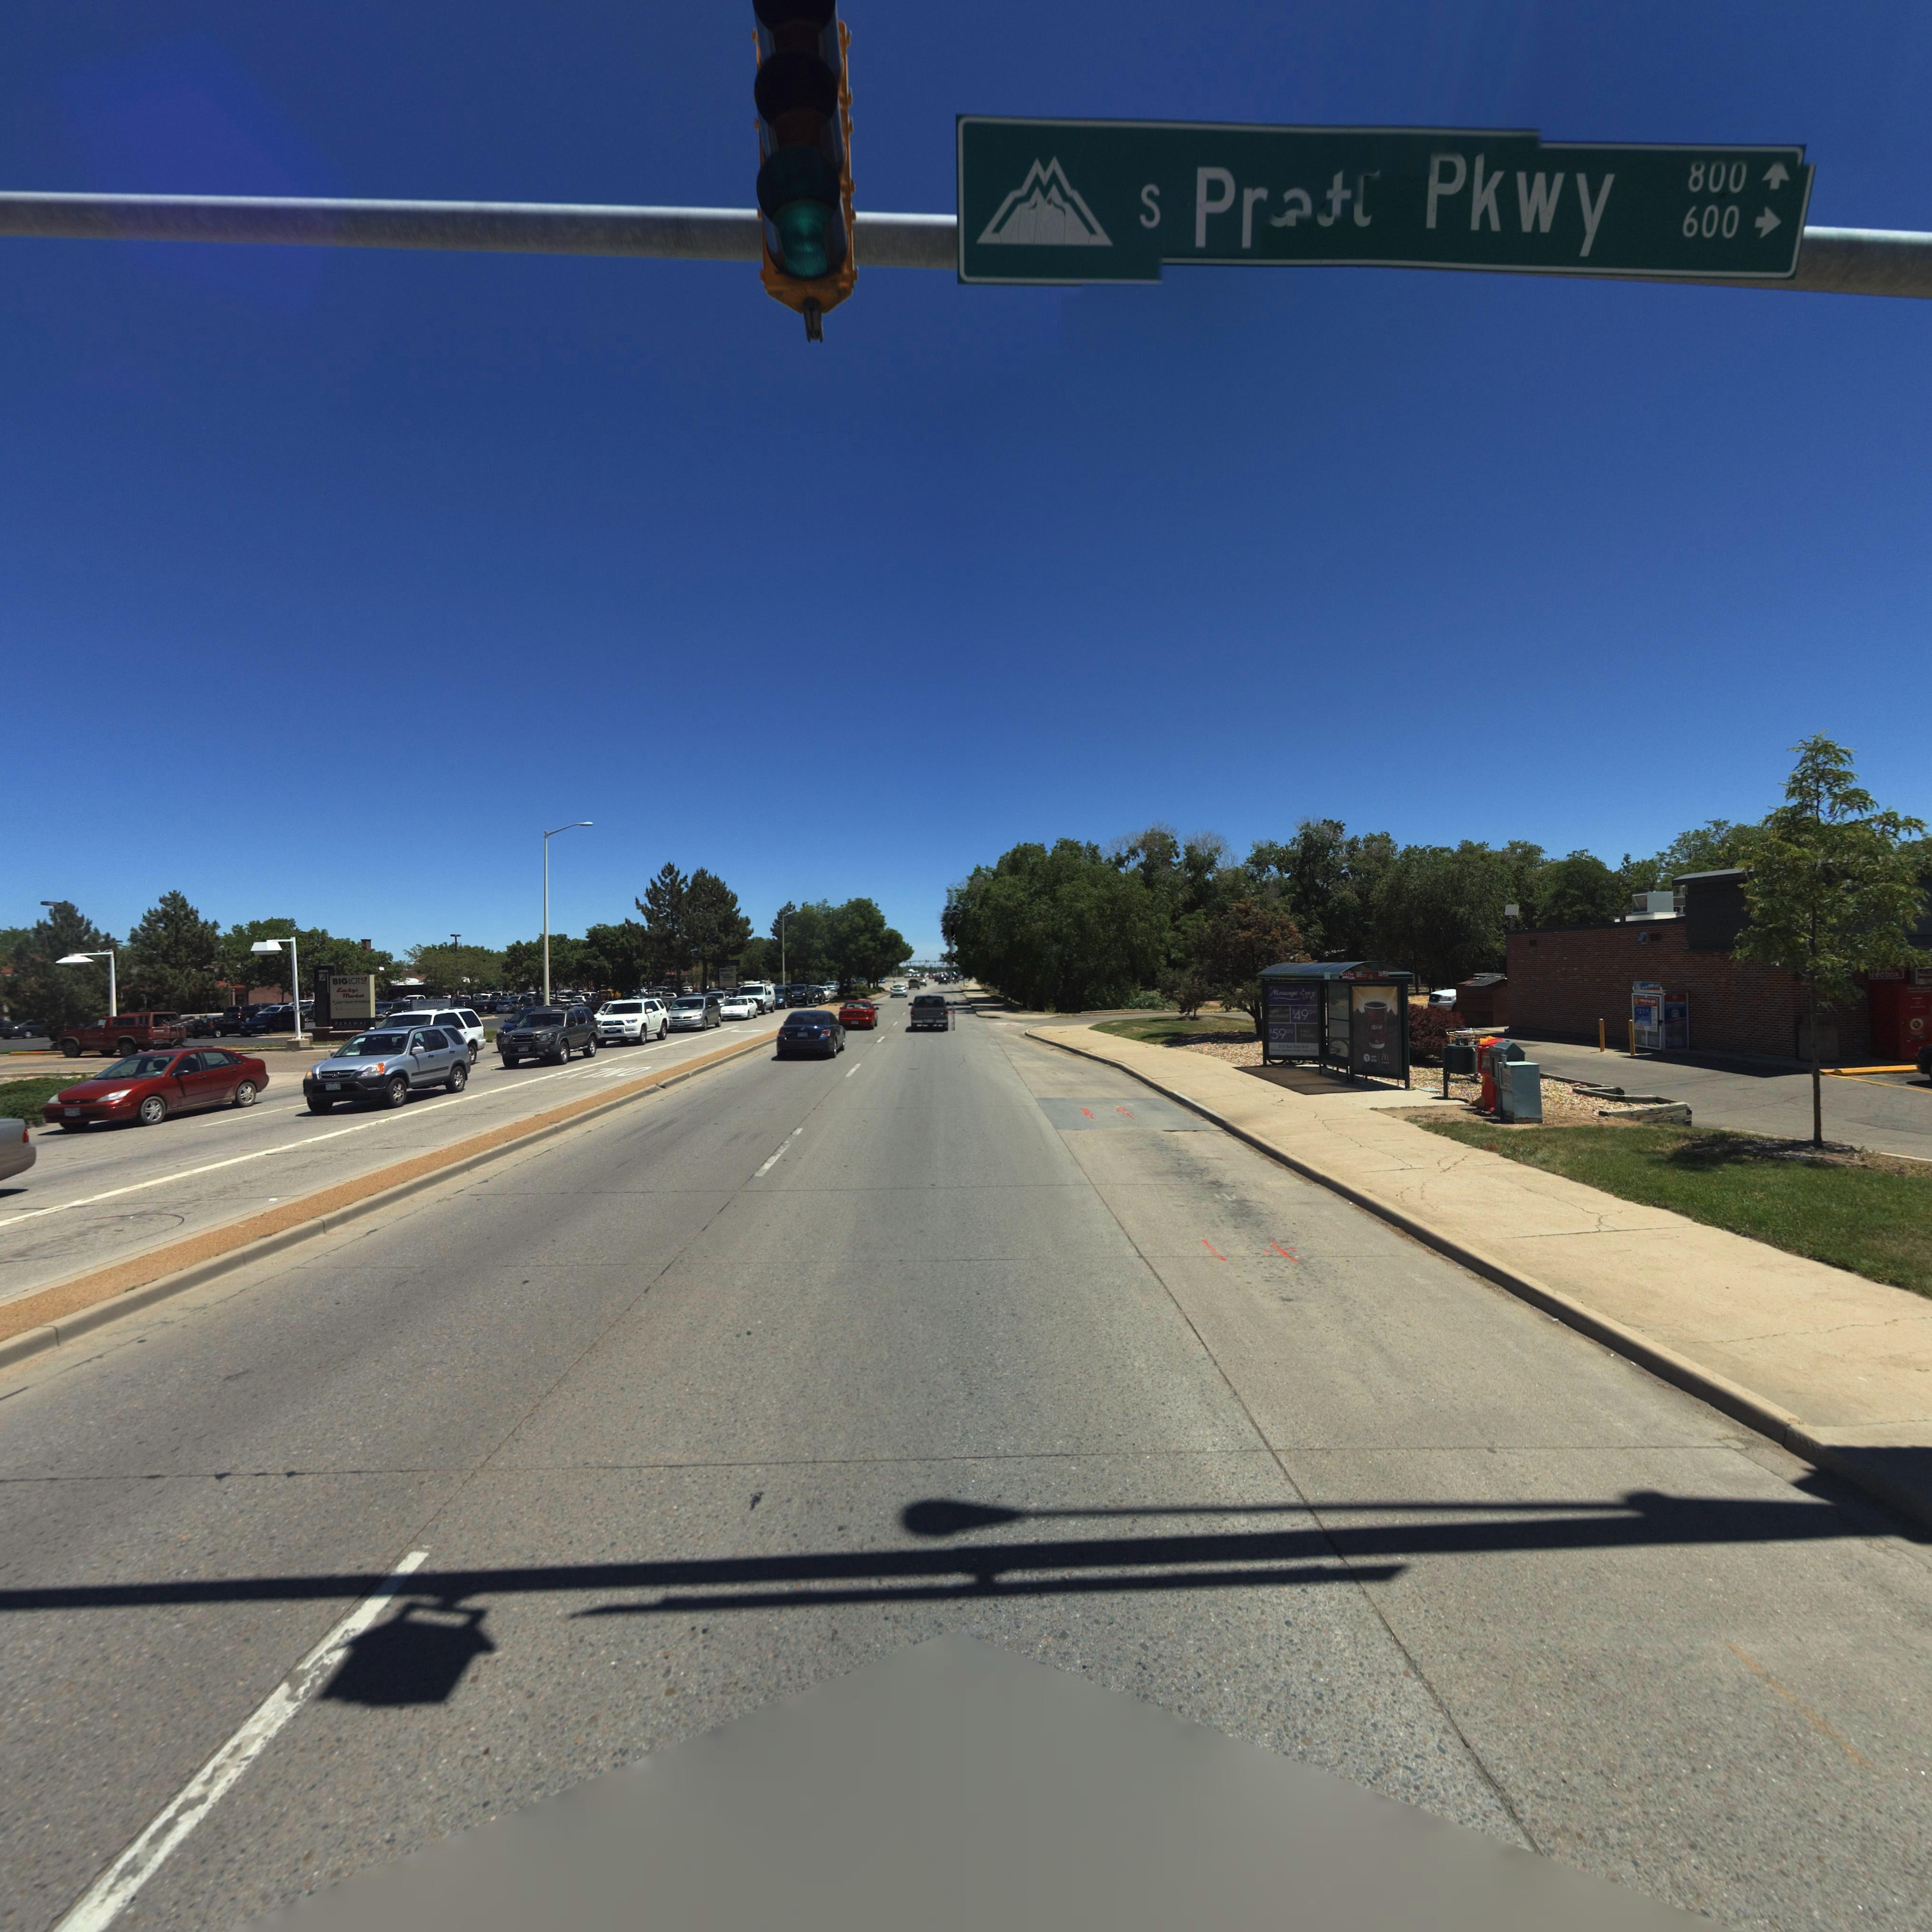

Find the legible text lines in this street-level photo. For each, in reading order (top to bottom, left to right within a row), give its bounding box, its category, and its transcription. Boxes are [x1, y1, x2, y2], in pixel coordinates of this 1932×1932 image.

[1685, 158, 1748, 195] StreetNumberRange: 800
[1135, 149, 1624, 261] StreetName: S Pr*** Pkwy
[1680, 203, 1786, 240] StreetNumberRange: 600->
[336, 986, 358, 994] BusinessName: L*cky's
[331, 976, 367, 985] BusinessName: BIG LOTS!
[341, 992, 365, 999] BusinessName: Mari***